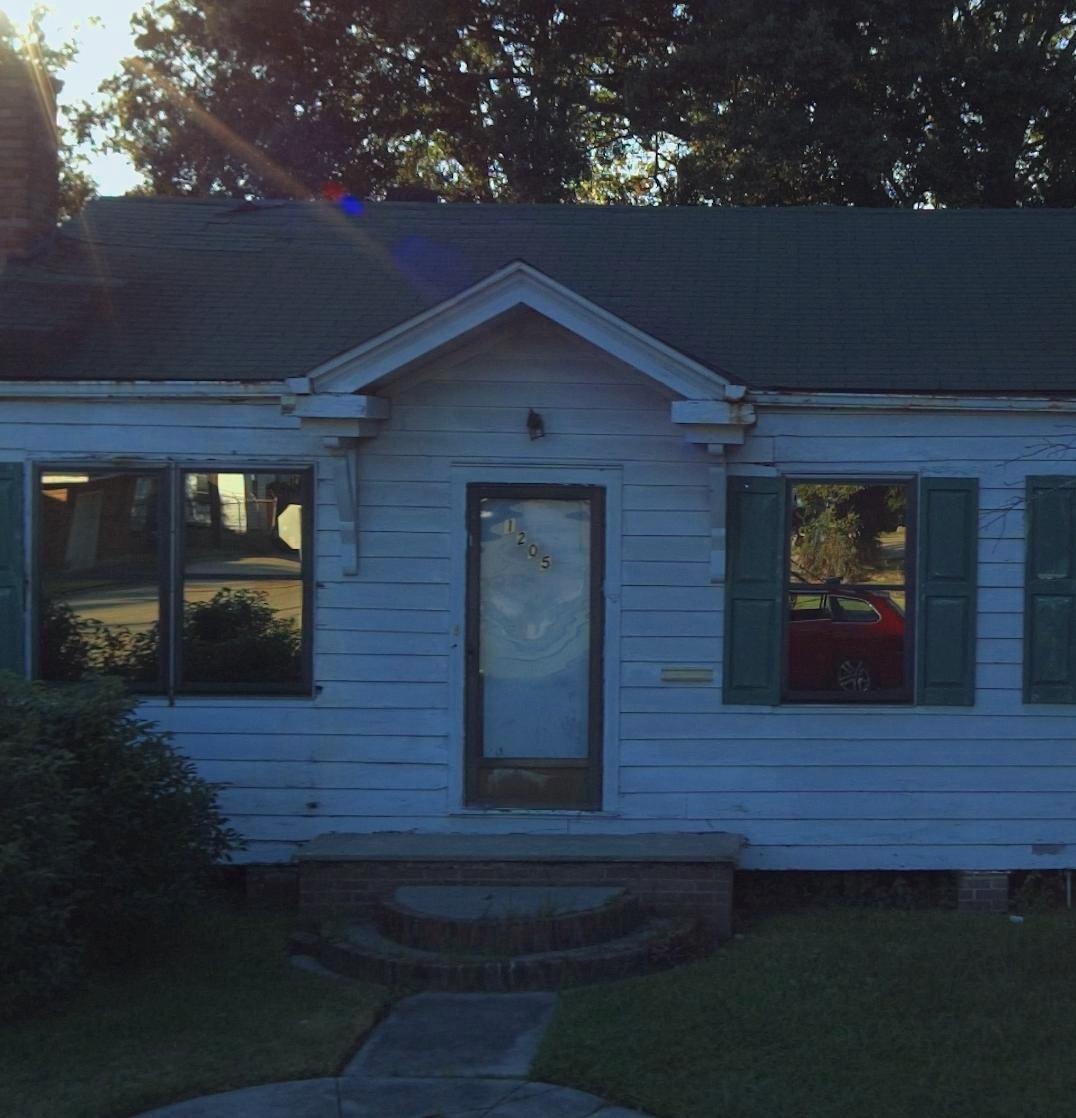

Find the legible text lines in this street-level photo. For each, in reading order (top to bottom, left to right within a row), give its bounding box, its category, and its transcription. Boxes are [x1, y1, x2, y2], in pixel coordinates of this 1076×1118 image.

[503, 516, 553, 573] StreetNumber: 1205